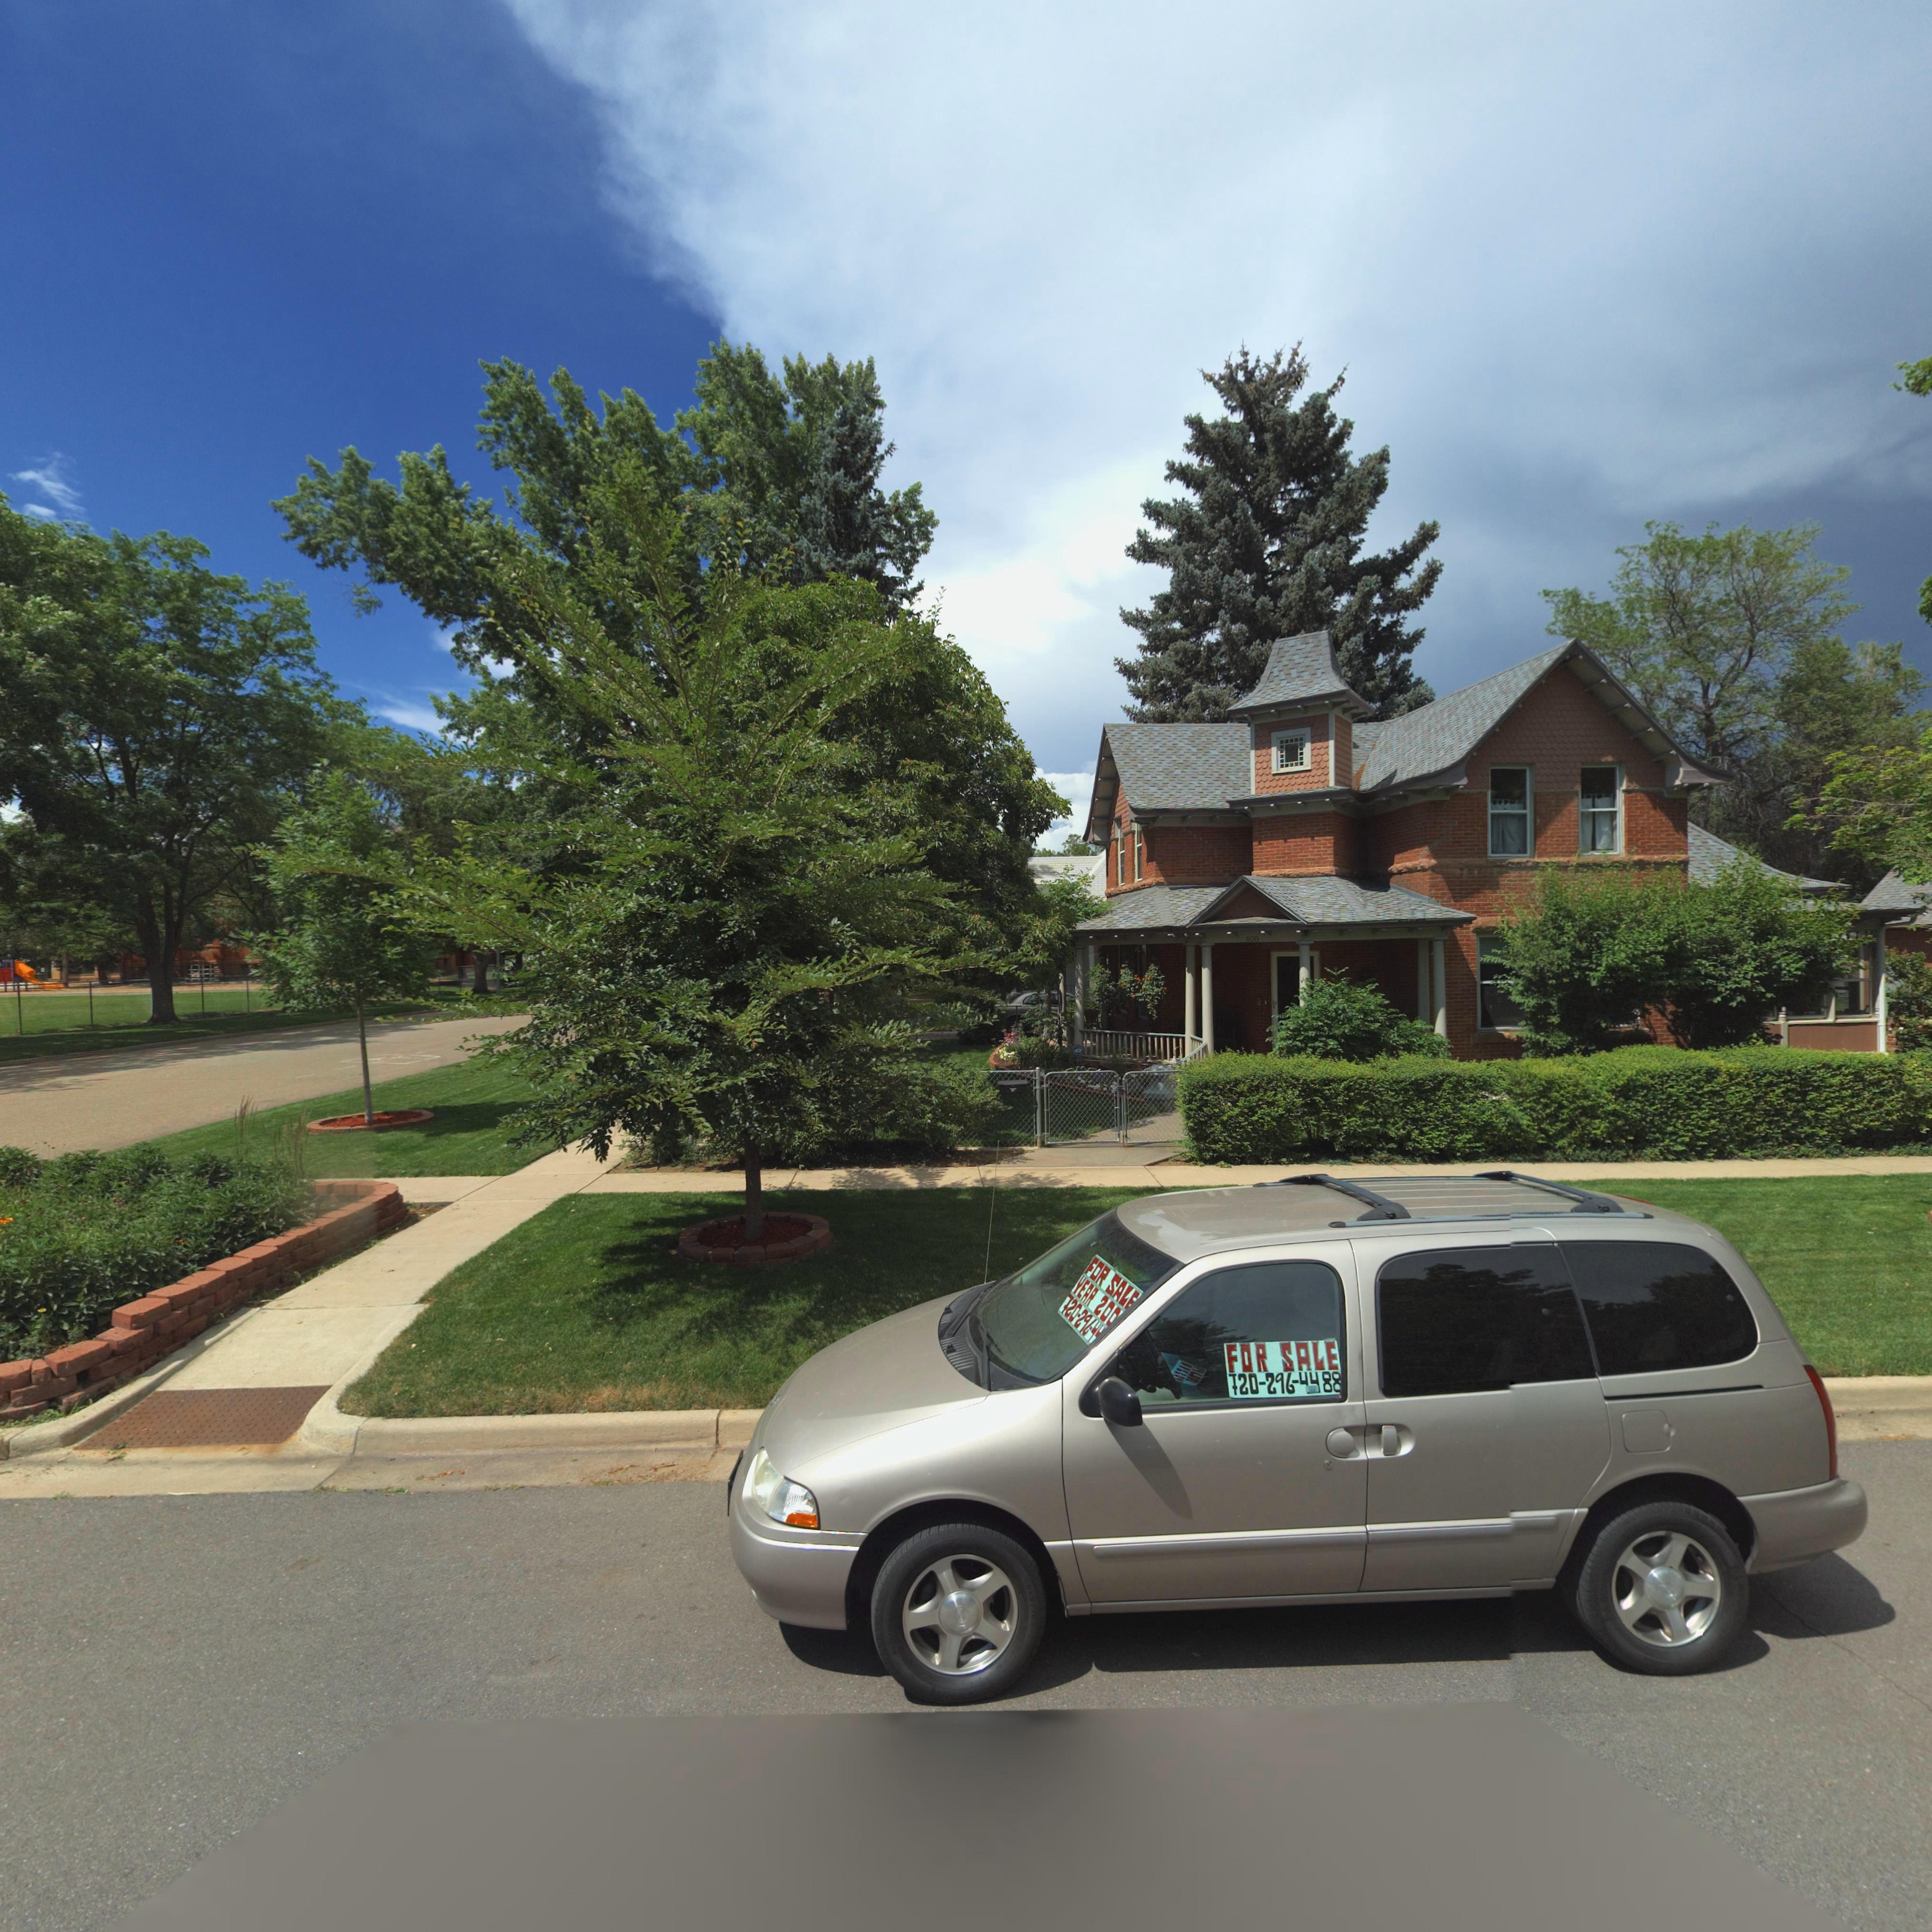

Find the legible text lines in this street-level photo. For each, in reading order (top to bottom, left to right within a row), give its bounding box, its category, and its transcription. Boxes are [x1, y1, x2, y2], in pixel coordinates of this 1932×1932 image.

[1245, 935, 1259, 942] StreetNumber: 600